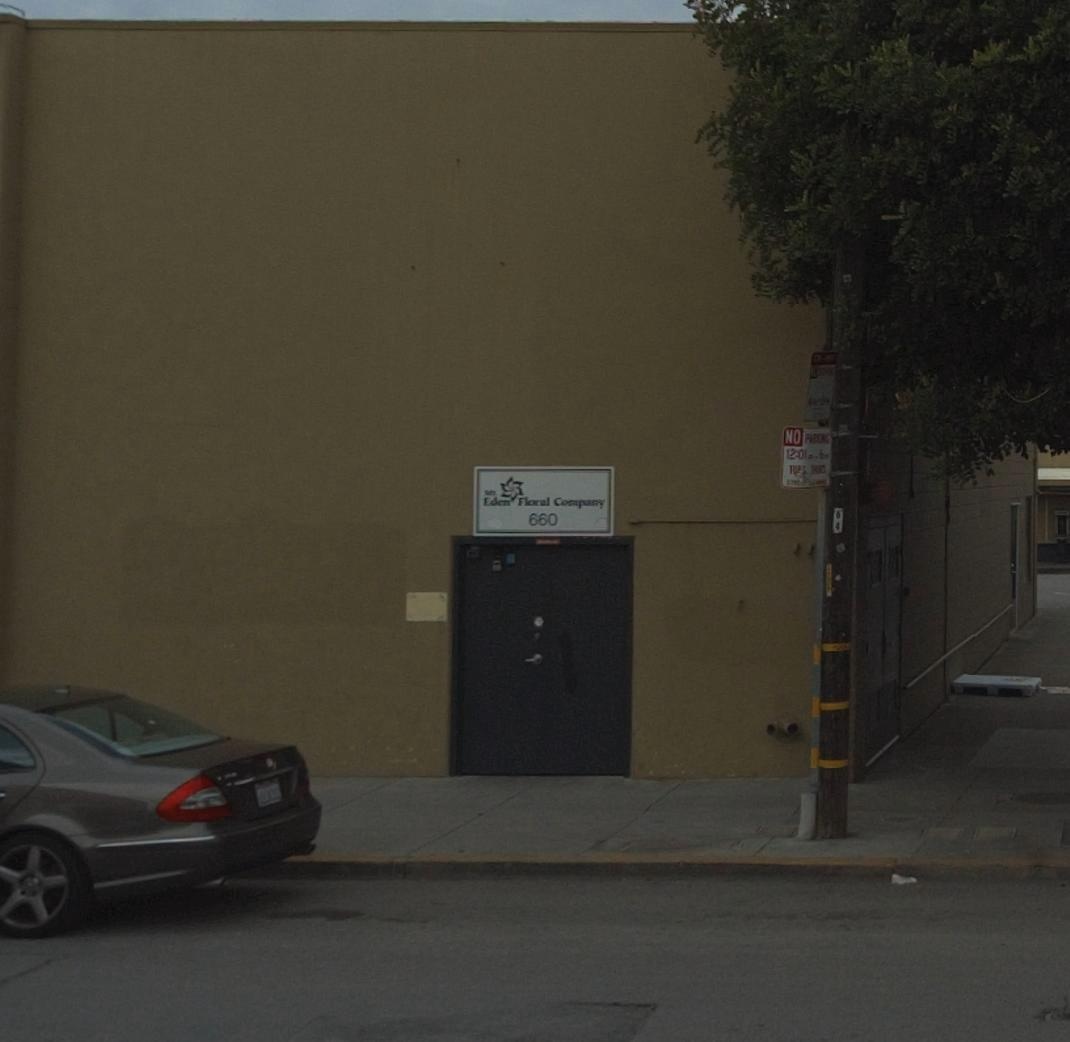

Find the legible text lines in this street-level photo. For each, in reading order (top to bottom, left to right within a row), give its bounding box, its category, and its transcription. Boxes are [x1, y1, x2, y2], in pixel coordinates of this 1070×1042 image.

[784, 428, 802, 446] None: NO
[784, 446, 809, 462] None: 12:01
[481, 495, 607, 511] BusinessName: Edm Floral Company
[527, 511, 560, 528] StreetNumber: 660